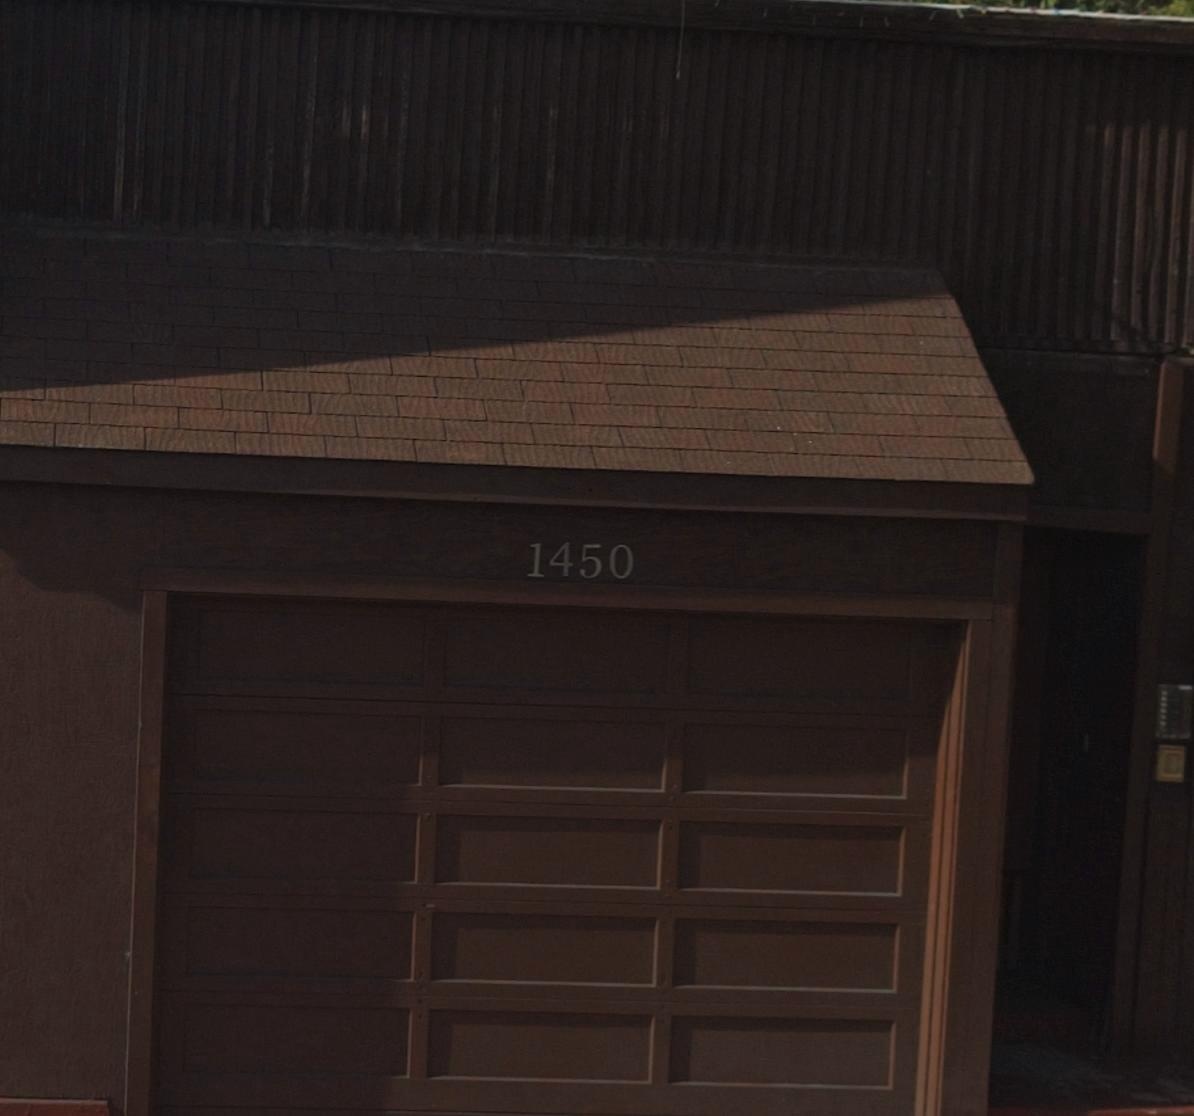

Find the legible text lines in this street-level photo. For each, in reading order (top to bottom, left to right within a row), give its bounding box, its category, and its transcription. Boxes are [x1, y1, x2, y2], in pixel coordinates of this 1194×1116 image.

[525, 534, 637, 586] StreetNumber: 1450